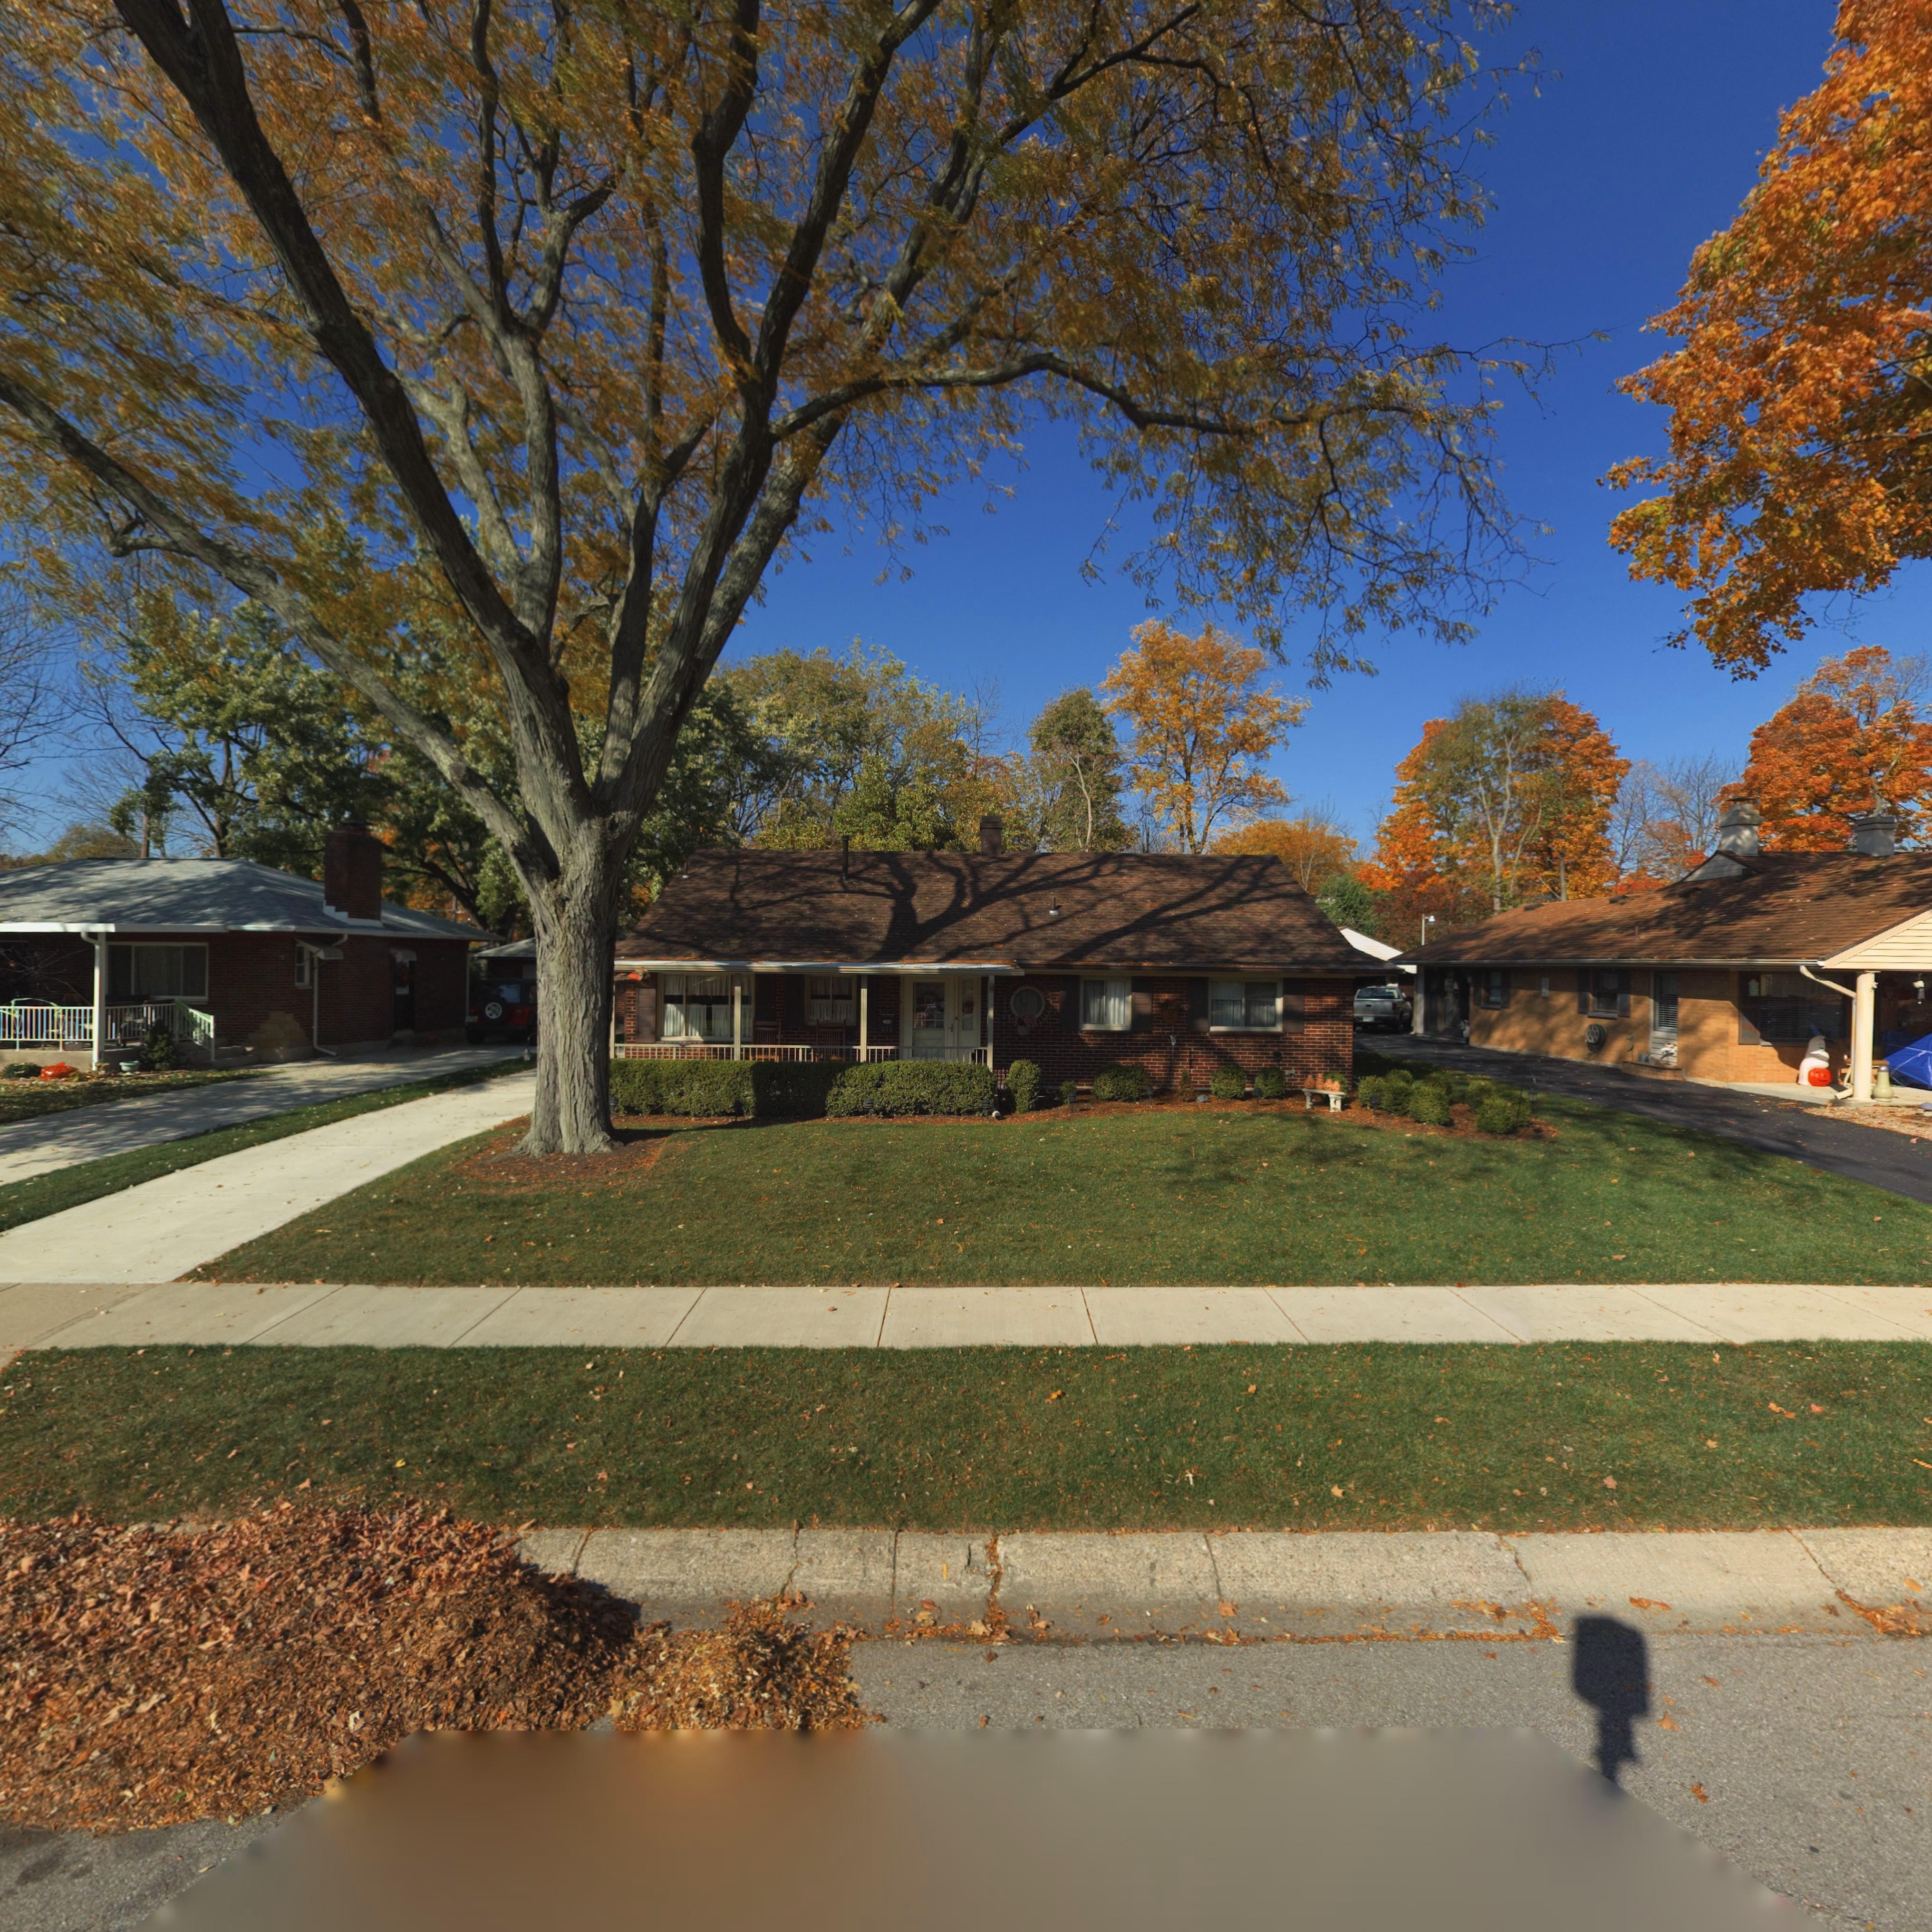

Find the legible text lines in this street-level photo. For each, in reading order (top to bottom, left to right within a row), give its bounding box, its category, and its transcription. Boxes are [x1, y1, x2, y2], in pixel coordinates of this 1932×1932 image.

[881, 1025, 893, 1033] StreetNumber: 613